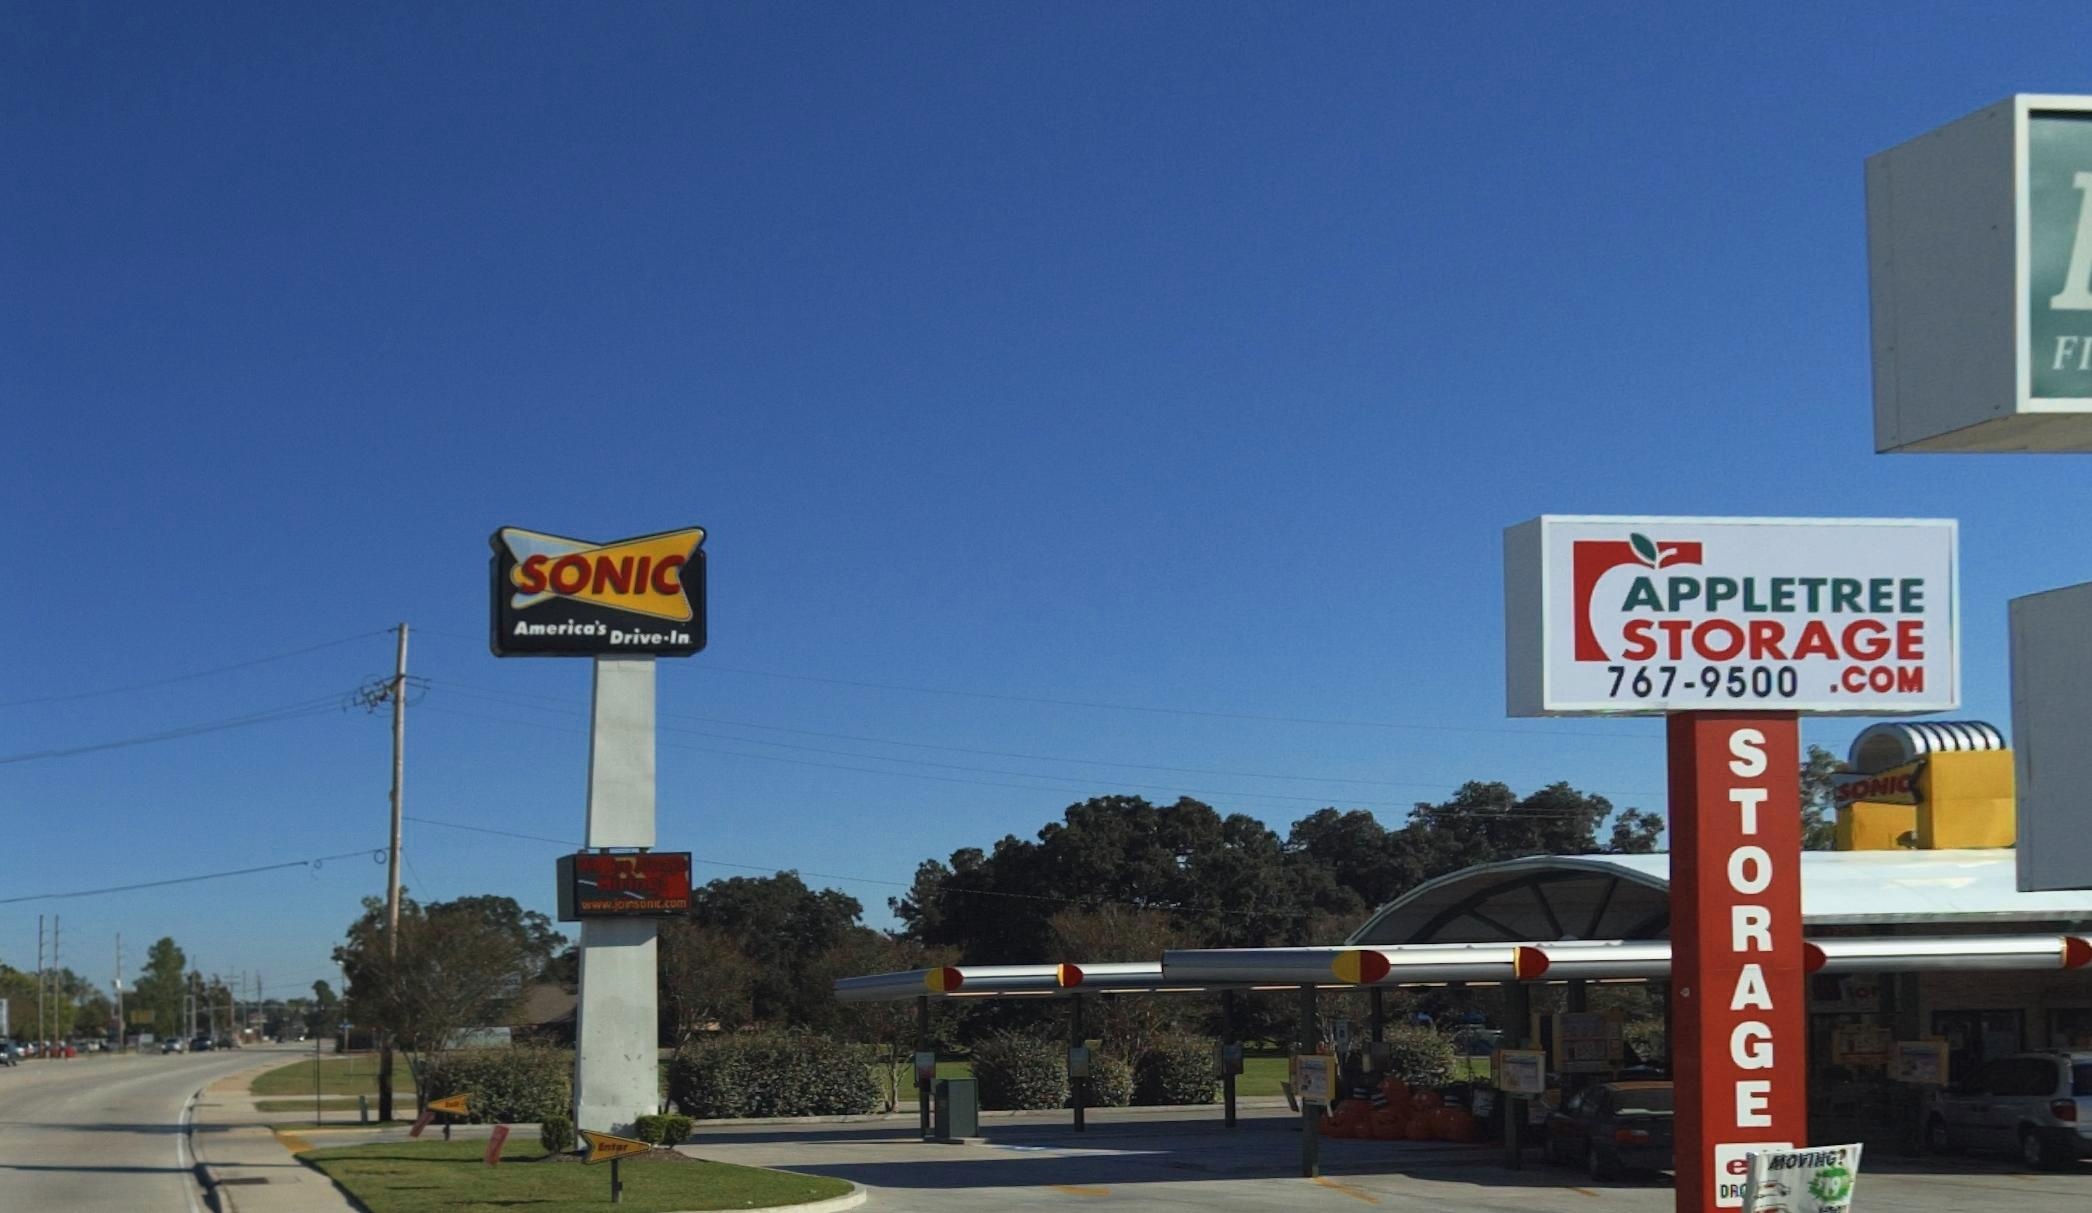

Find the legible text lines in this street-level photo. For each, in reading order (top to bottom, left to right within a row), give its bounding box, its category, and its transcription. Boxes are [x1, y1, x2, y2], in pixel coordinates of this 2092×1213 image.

[2049, 333, 2092, 374] None: FI
[517, 554, 687, 595] BusinessName: SONIC
[1615, 574, 1925, 614] BusinessName: APPLETREE
[511, 617, 608, 637] None: America's
[608, 626, 691, 646] None: Drive-In
[1620, 618, 1924, 662] BusinessName: STORAGE
[1606, 664, 1926, 699] None: 767-9500 .COM
[1836, 773, 1912, 803] BusinessName: SONIC
[574, 854, 689, 878] None: We Are Always
[595, 874, 660, 895] None: Hiring
[580, 896, 688, 913] None: www.joinsonic.com
[1717, 711, 1786, 1136] None: STORAGE
[1845, 983, 1871, 1000] None: SO
[596, 1140, 630, 1153] None: Enter
[1725, 1157, 1750, 1177] None: e
[1766, 1147, 1849, 1171] None: MOVING?
[1719, 1182, 1740, 1200] None: DR
[1821, 1174, 1843, 1197] None: 19